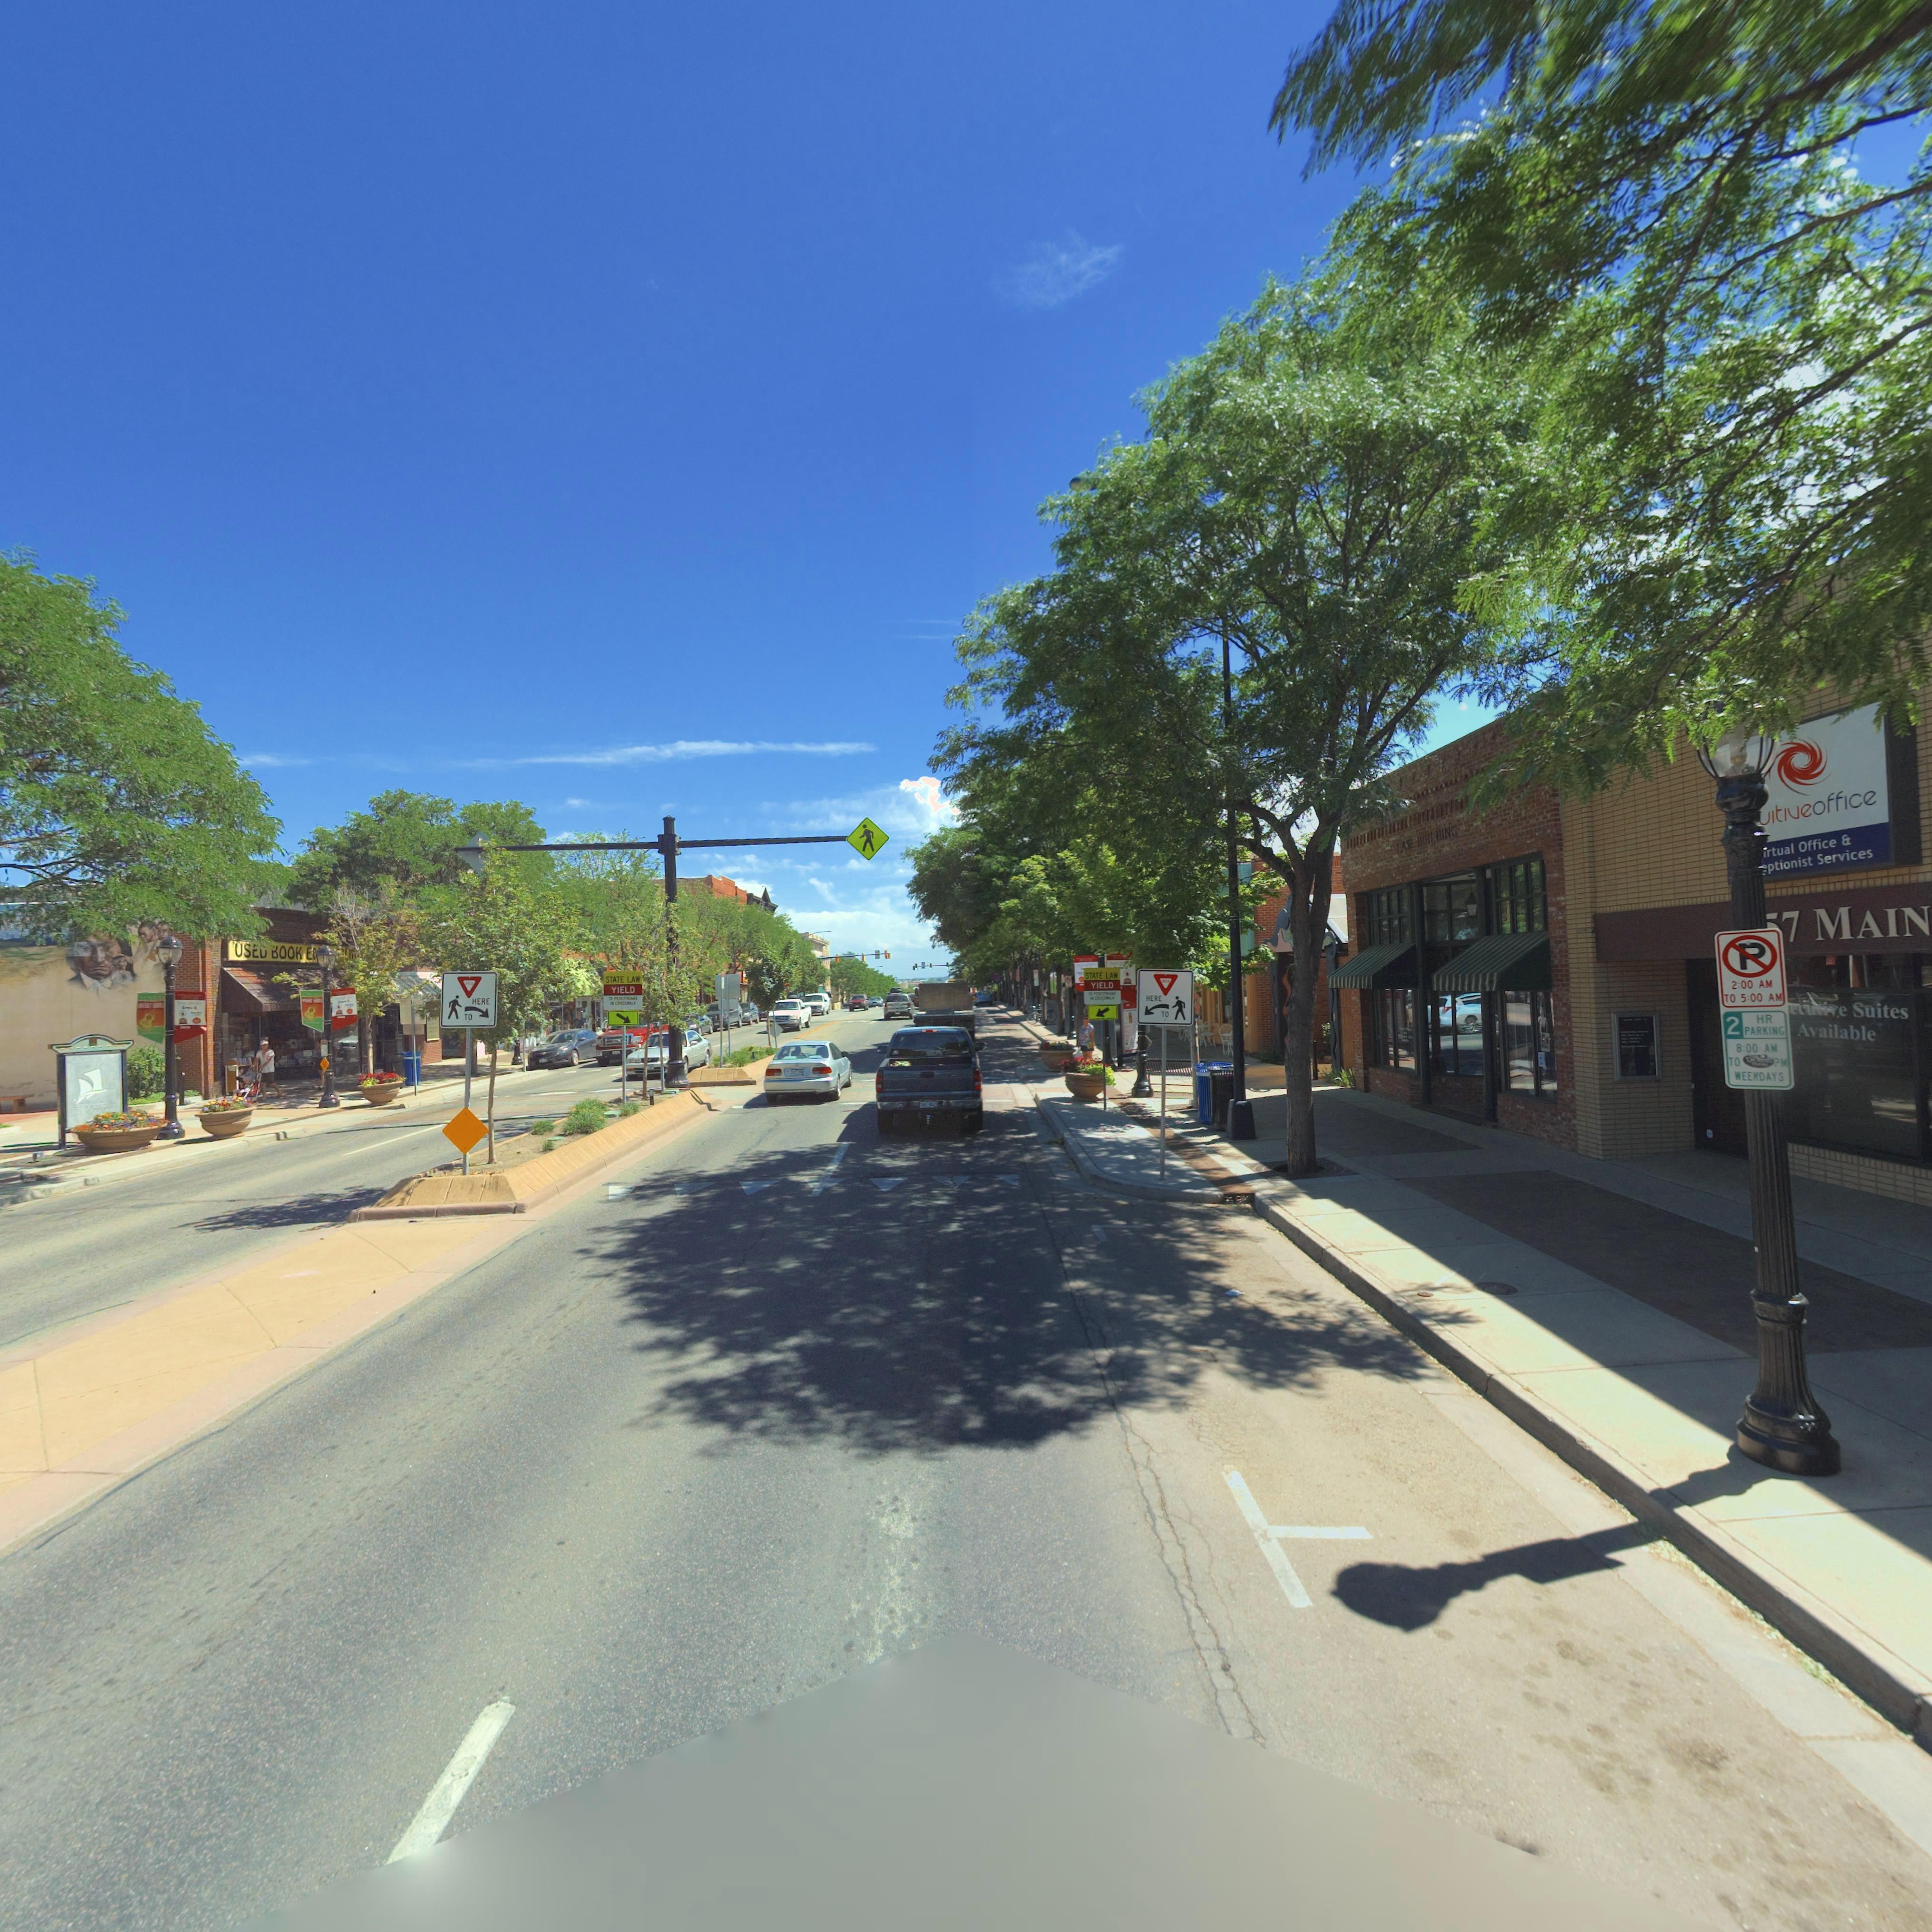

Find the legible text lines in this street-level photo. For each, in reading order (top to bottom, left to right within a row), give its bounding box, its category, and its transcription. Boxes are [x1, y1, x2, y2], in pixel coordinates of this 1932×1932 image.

[1758, 790, 1877, 826] BusinessName: uitiveoffice
[1780, 909, 1801, 943] StreetNumber: 7
[1812, 905, 1931, 940] StreetName: MAIN
[234, 942, 320, 960] BusinessName: USED BOOK E*